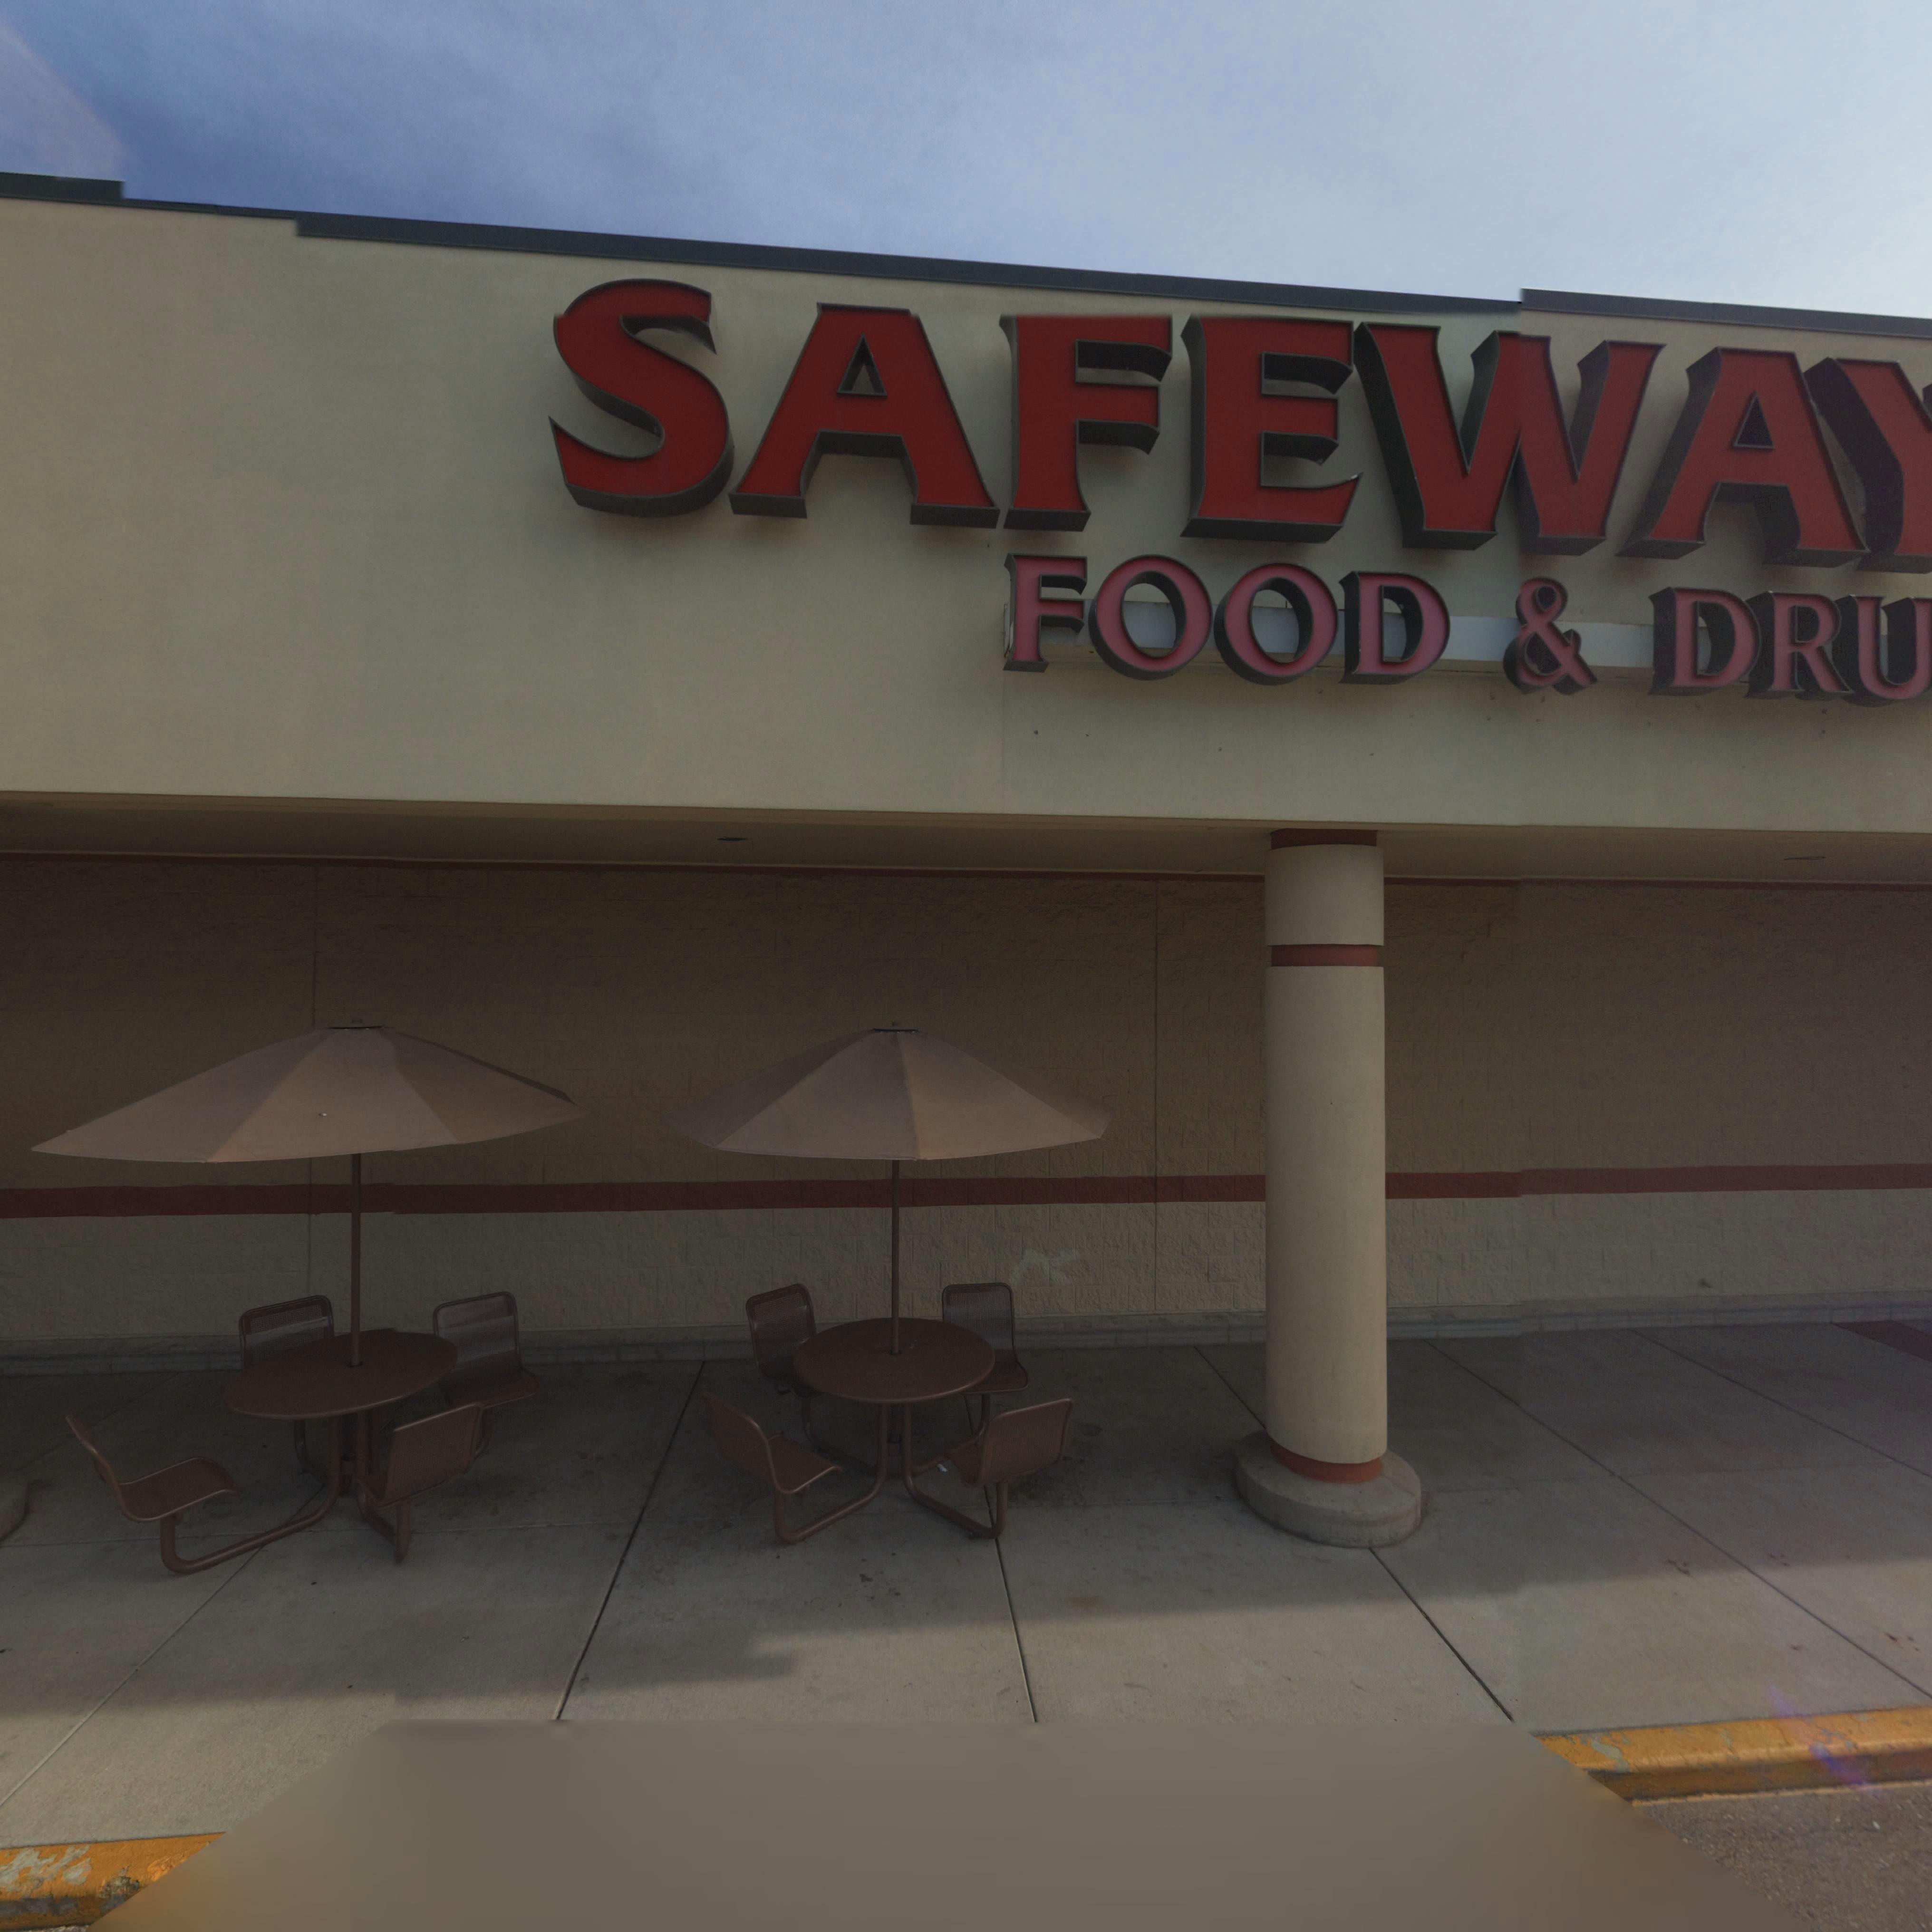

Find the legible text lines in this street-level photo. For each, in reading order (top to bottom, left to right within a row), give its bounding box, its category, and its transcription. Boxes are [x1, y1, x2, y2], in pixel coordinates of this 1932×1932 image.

[549, 277, 1876, 563] BusinessName: SAFEWA